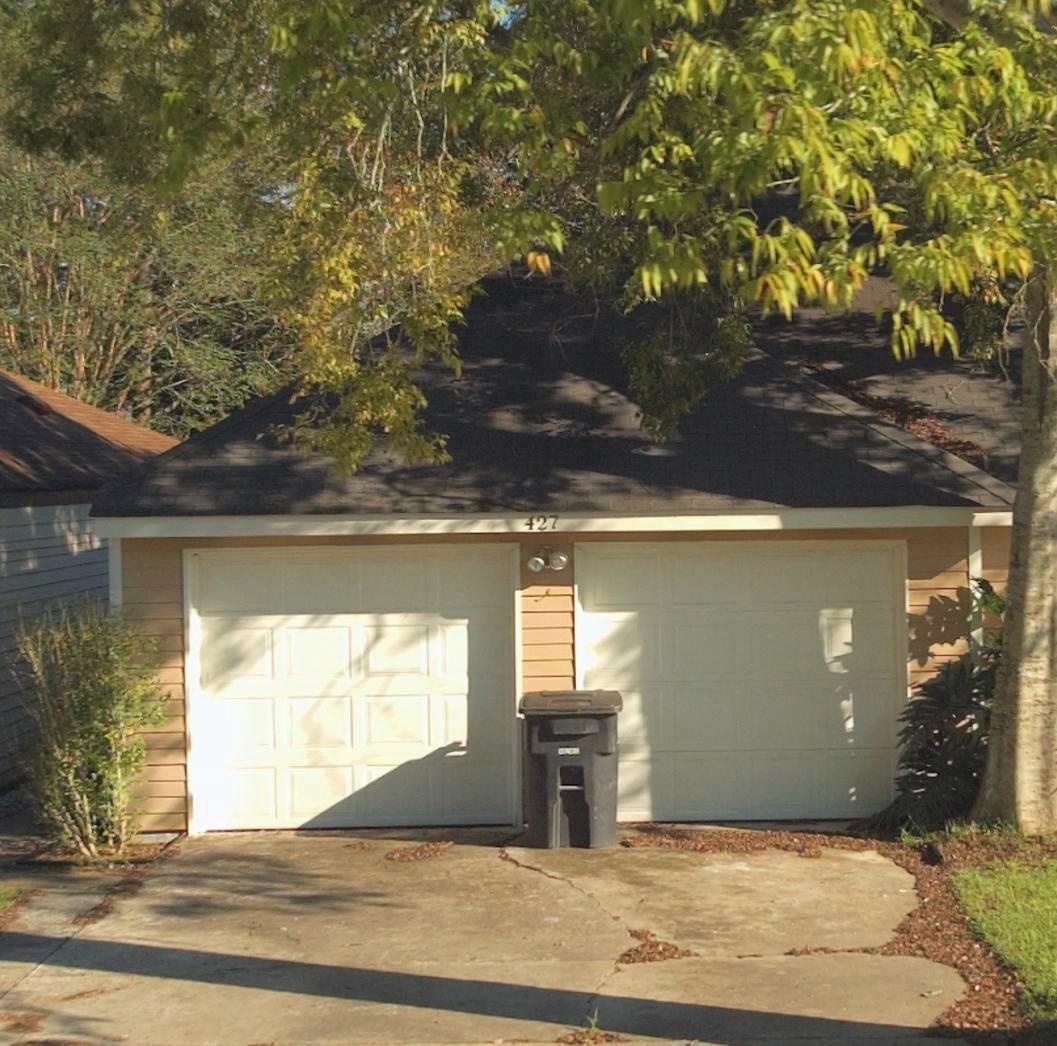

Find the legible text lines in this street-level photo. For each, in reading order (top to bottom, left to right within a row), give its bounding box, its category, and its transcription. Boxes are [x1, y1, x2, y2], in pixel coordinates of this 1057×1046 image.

[523, 515, 560, 531] StreetNumber: 427